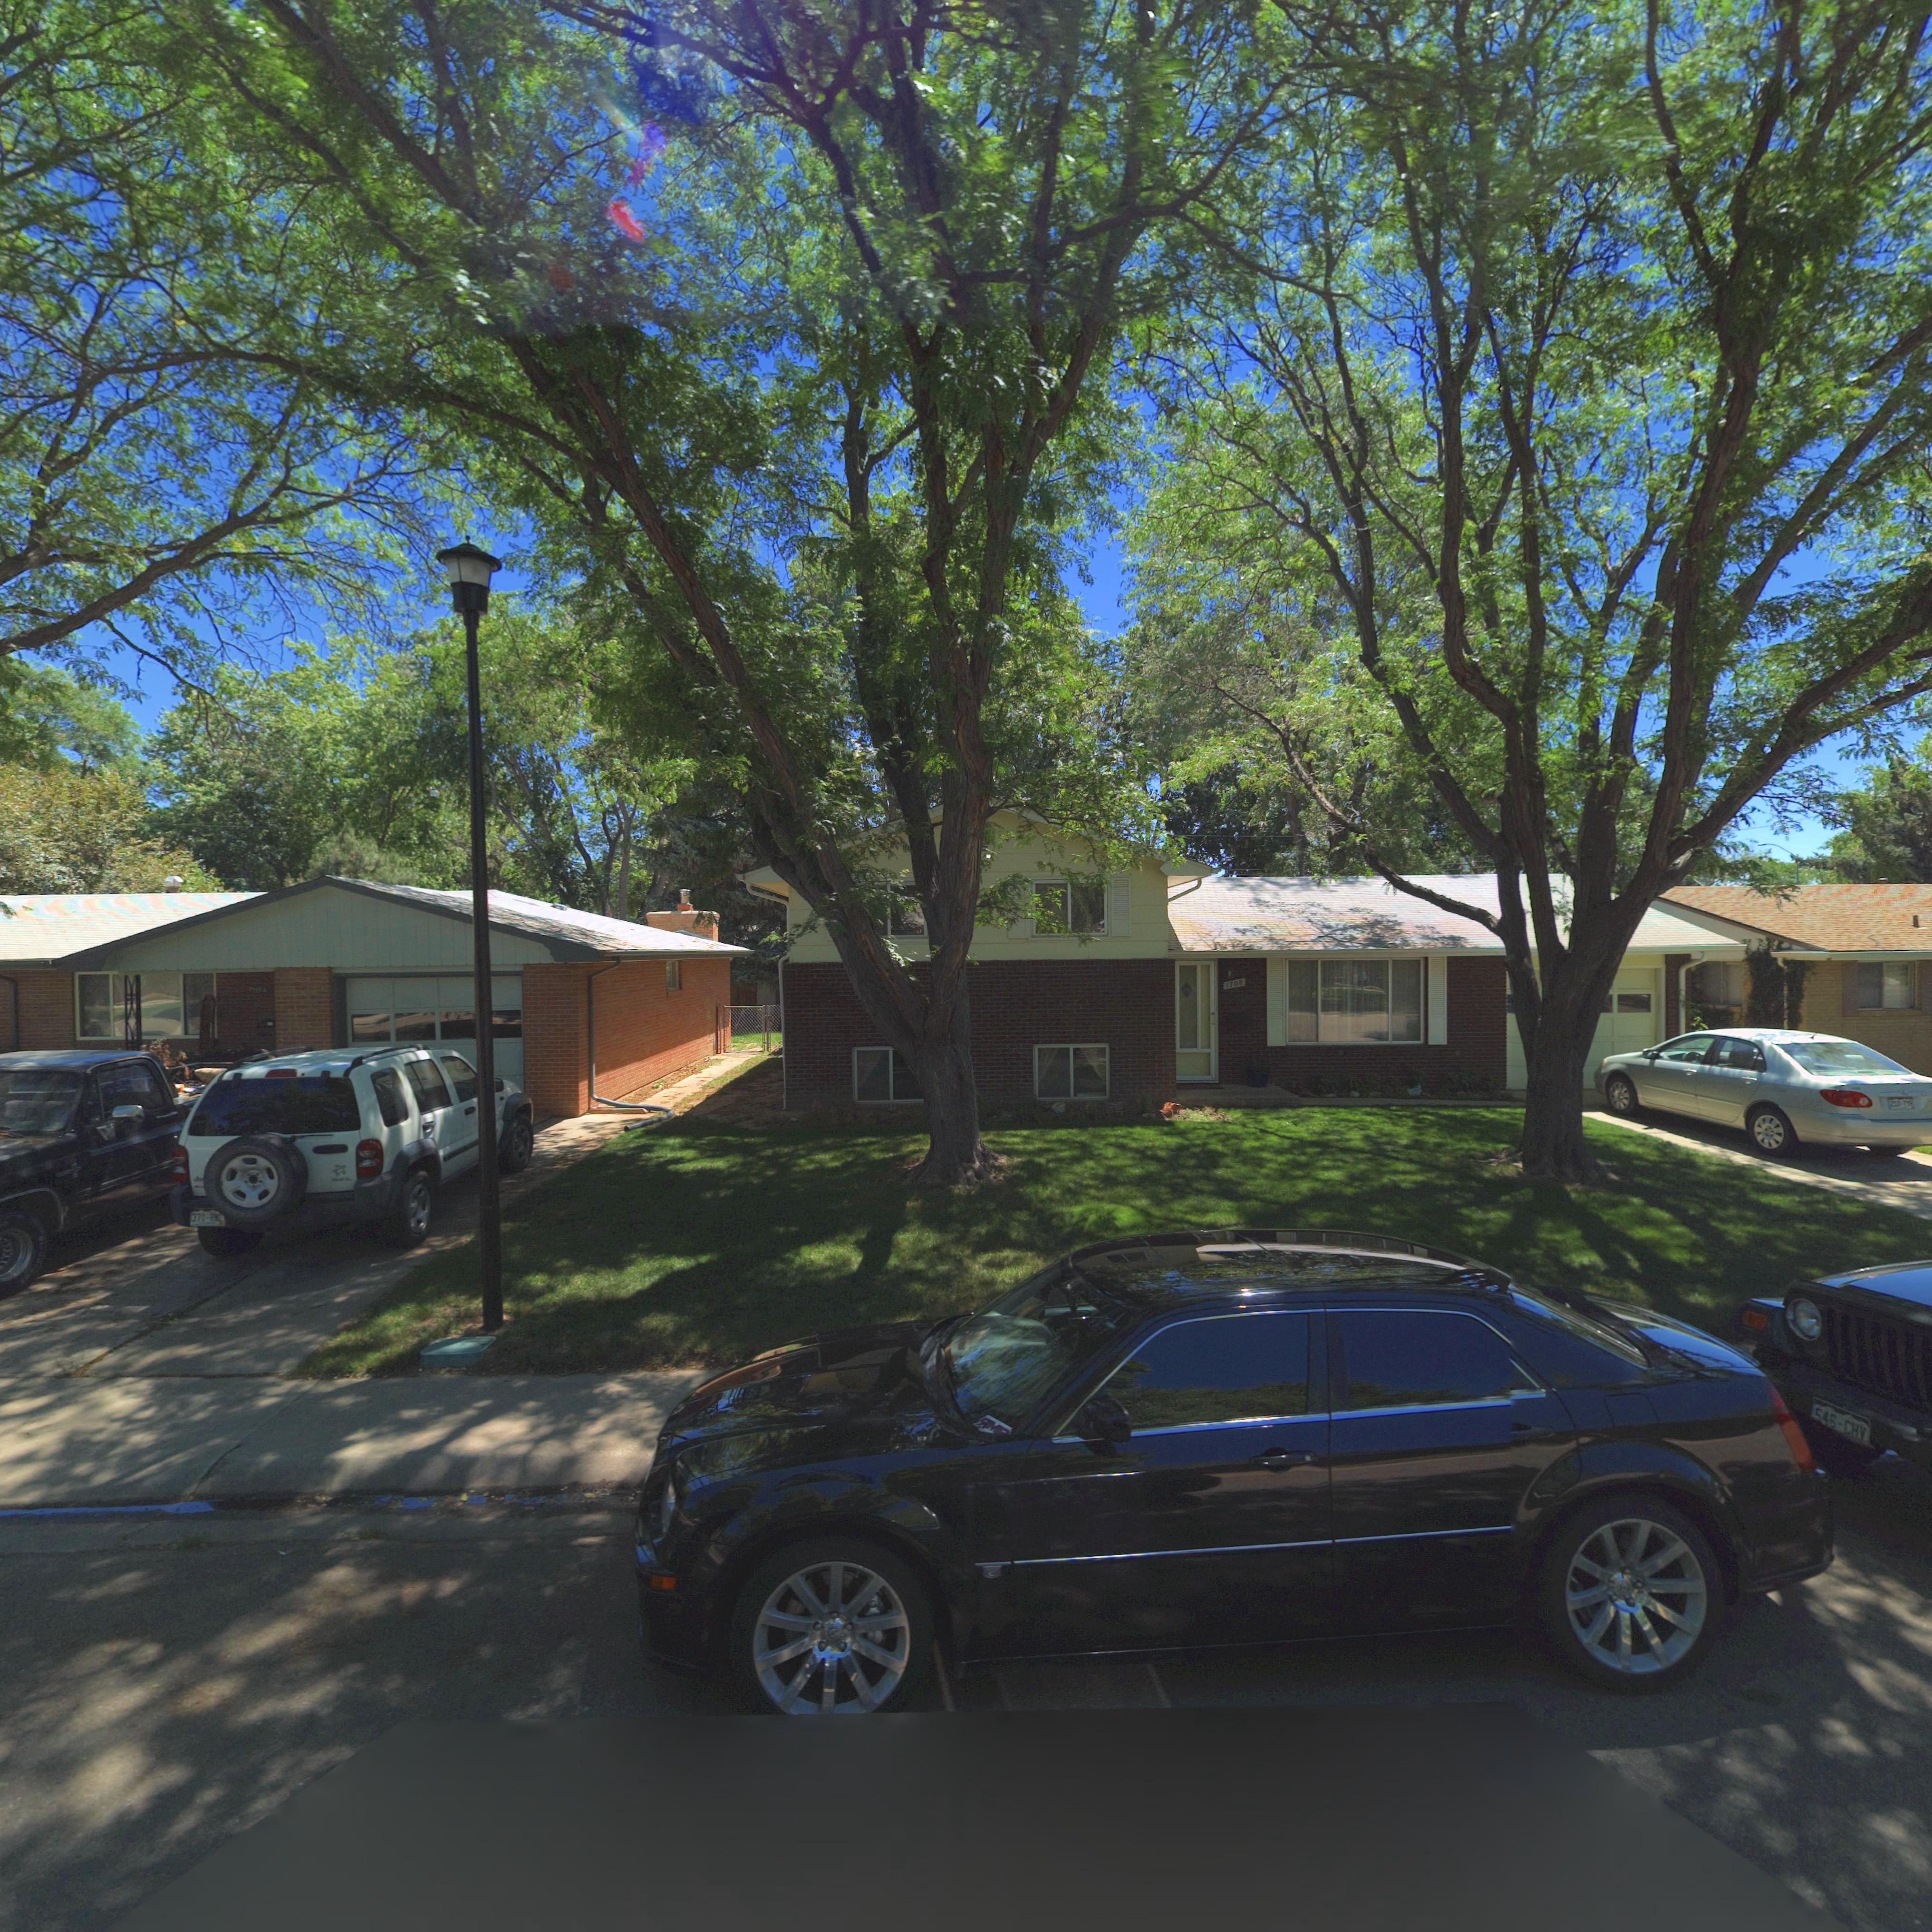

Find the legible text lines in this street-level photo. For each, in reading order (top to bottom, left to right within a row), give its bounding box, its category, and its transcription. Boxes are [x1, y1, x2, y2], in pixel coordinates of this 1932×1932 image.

[1226, 979, 1243, 988] StreetNumber: 1708